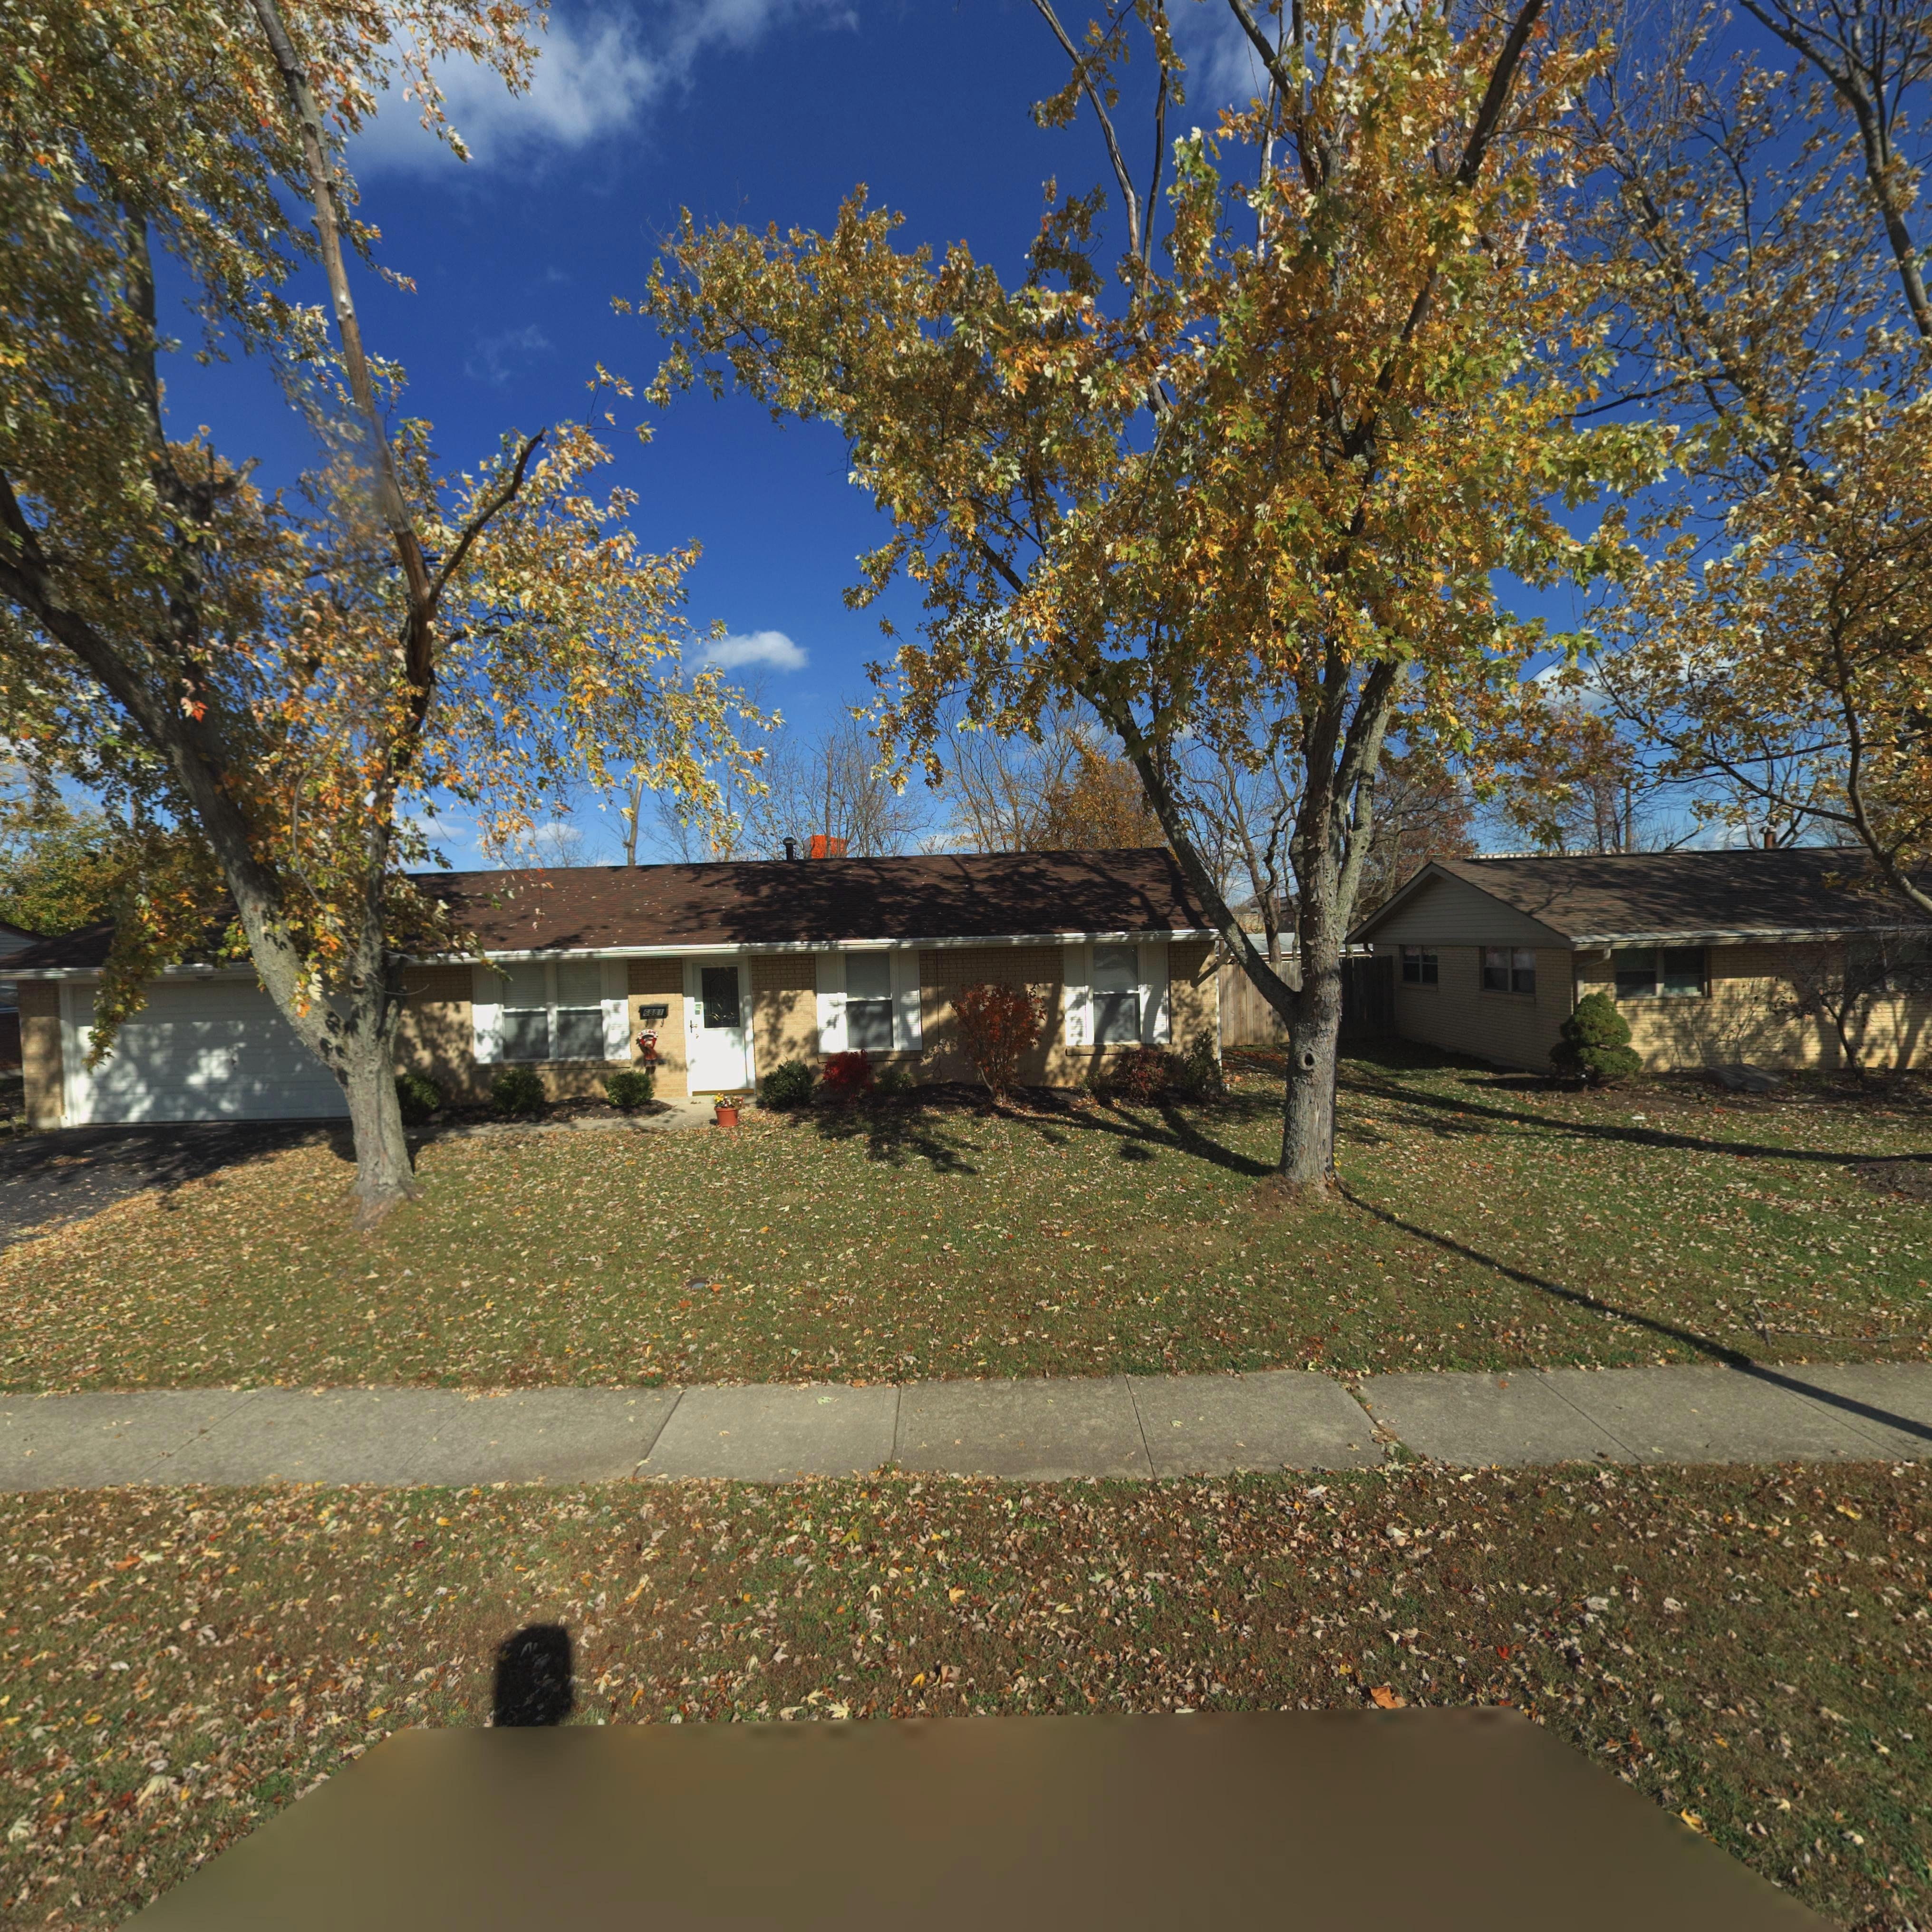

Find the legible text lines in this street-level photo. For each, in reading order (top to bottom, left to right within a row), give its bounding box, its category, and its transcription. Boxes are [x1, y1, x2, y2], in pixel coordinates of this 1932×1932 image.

[643, 1008, 664, 1016] StreetNumber: 6881